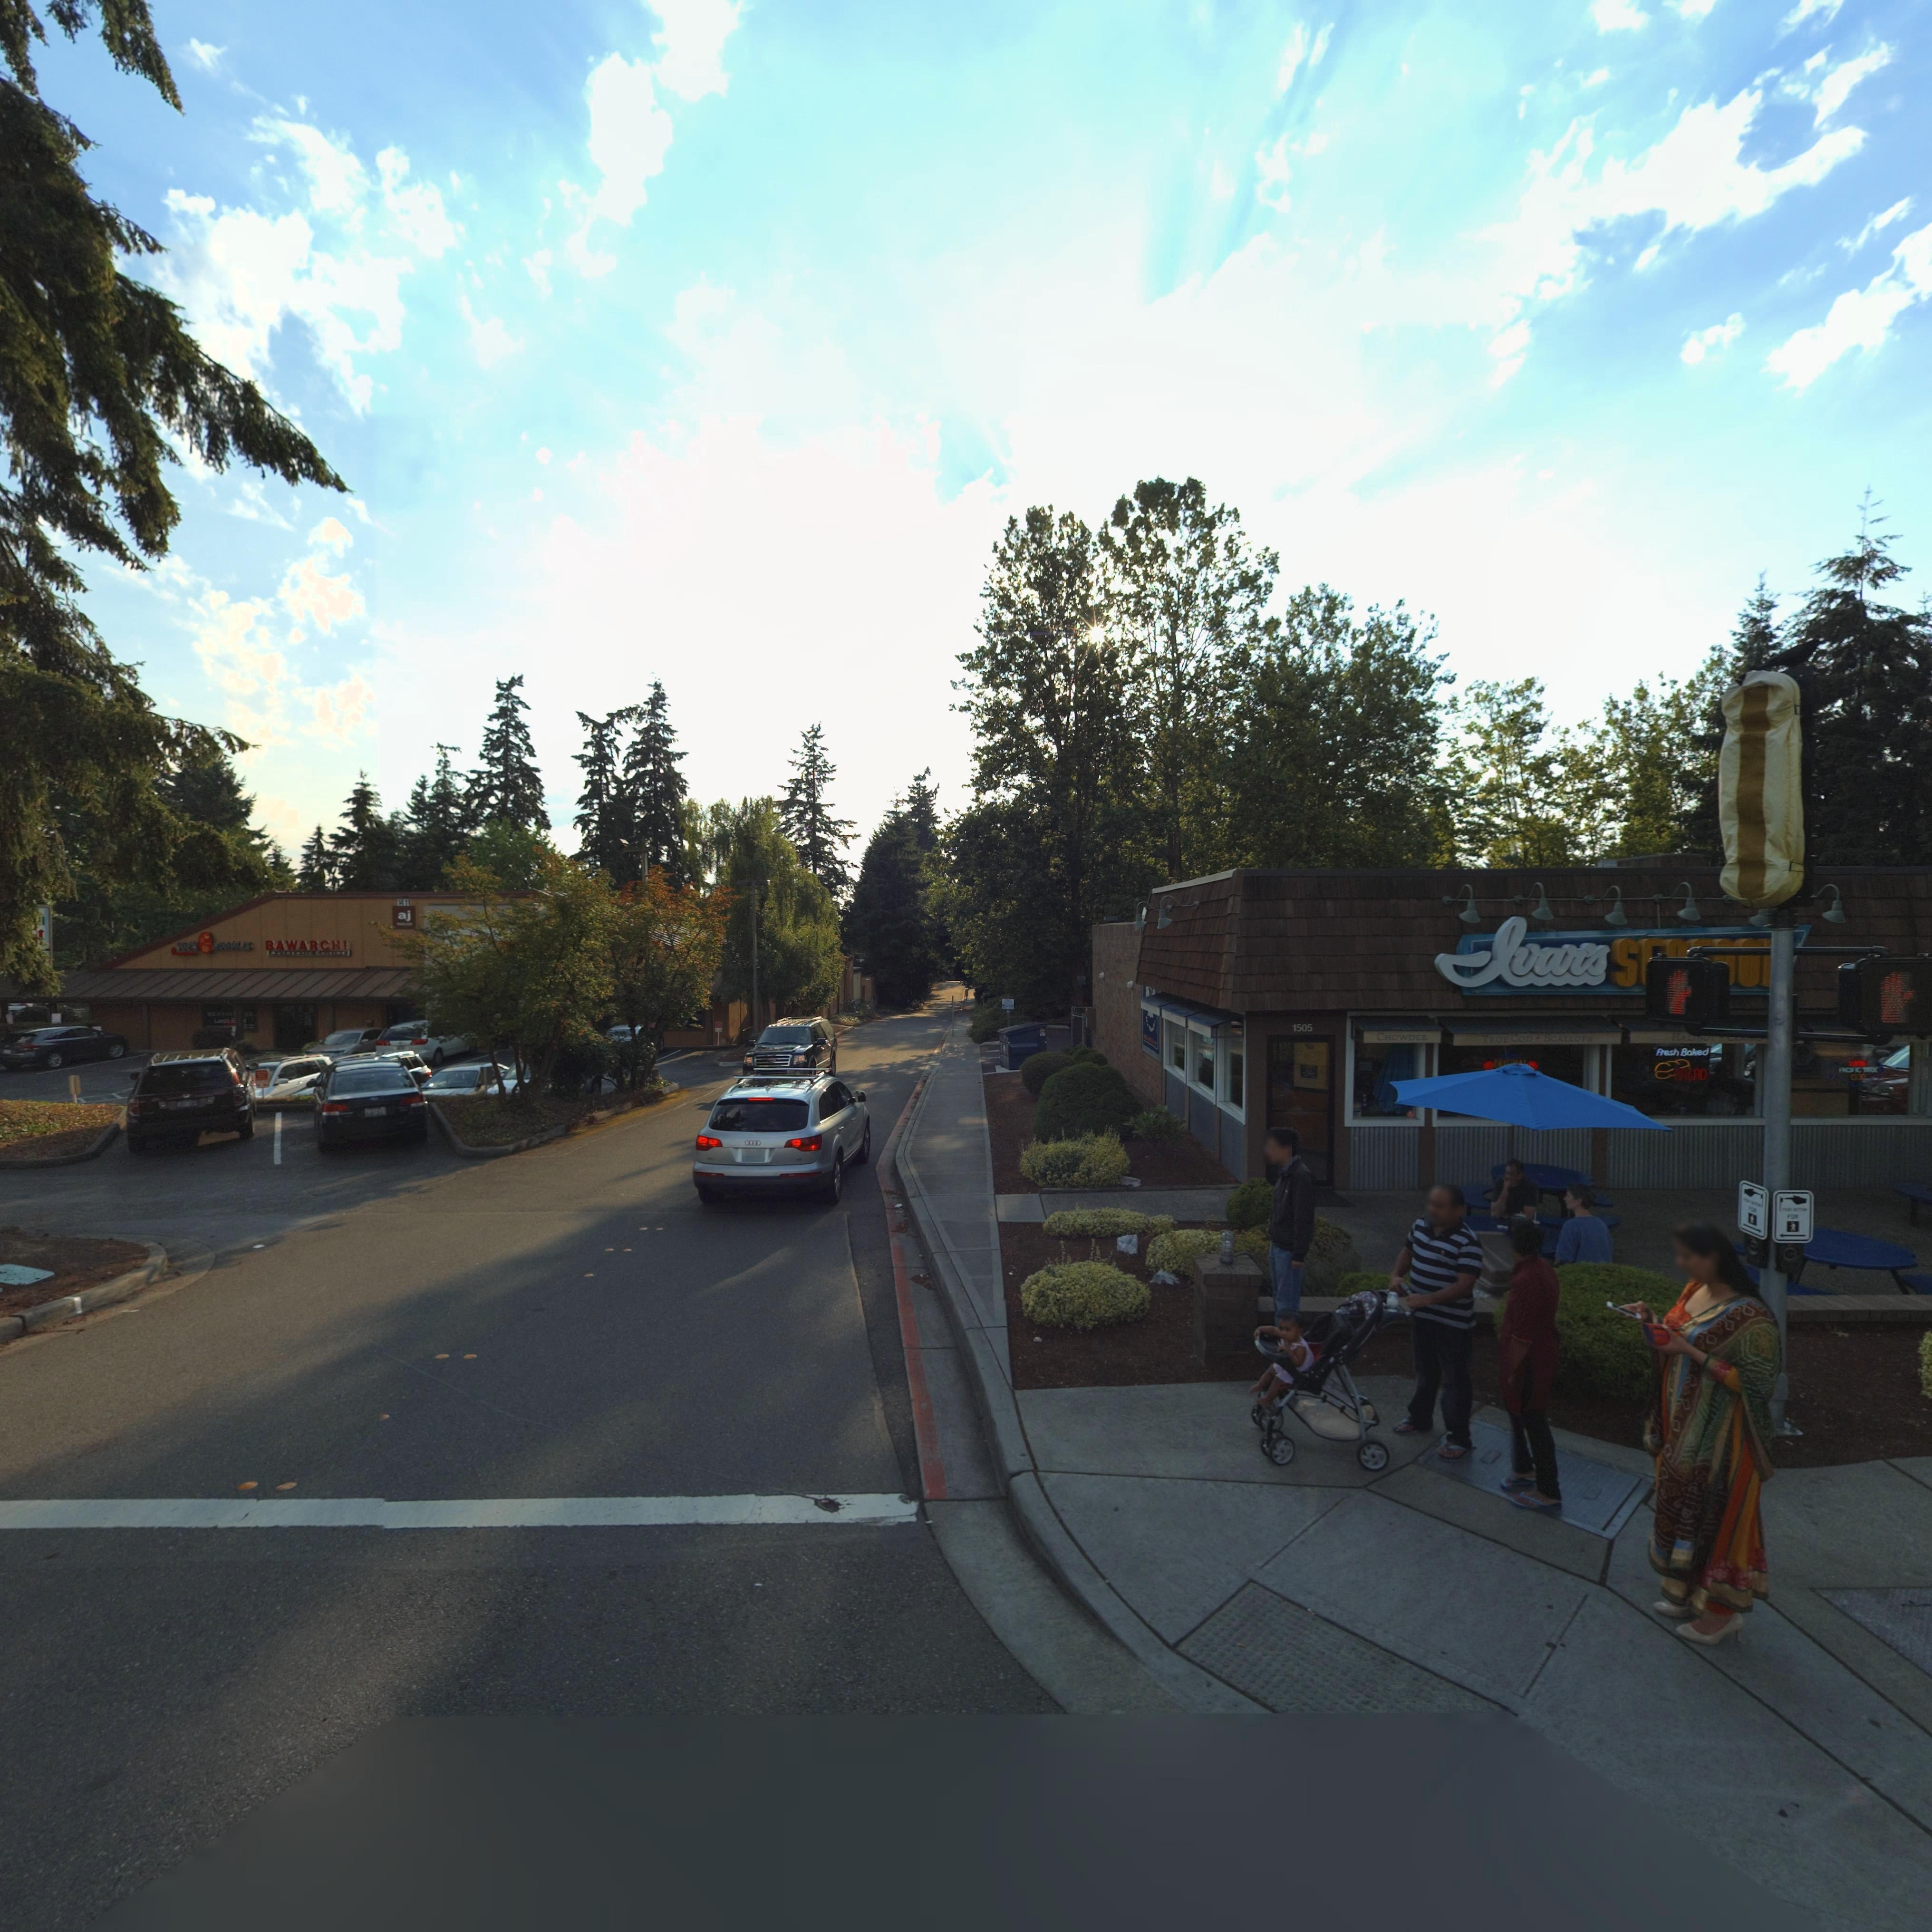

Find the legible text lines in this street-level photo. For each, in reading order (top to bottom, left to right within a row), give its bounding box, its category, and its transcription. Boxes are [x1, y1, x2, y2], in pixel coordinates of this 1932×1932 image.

[396, 898, 411, 907] StreetNumber: 1411
[264, 938, 348, 952] BusinessName: BAWARCHI
[1508, 943, 1609, 977] BusinessName: var*s
[1611, 936, 1639, 989] BusinessName: S
[1291, 1023, 1313, 1032] StreetNumber: 1505